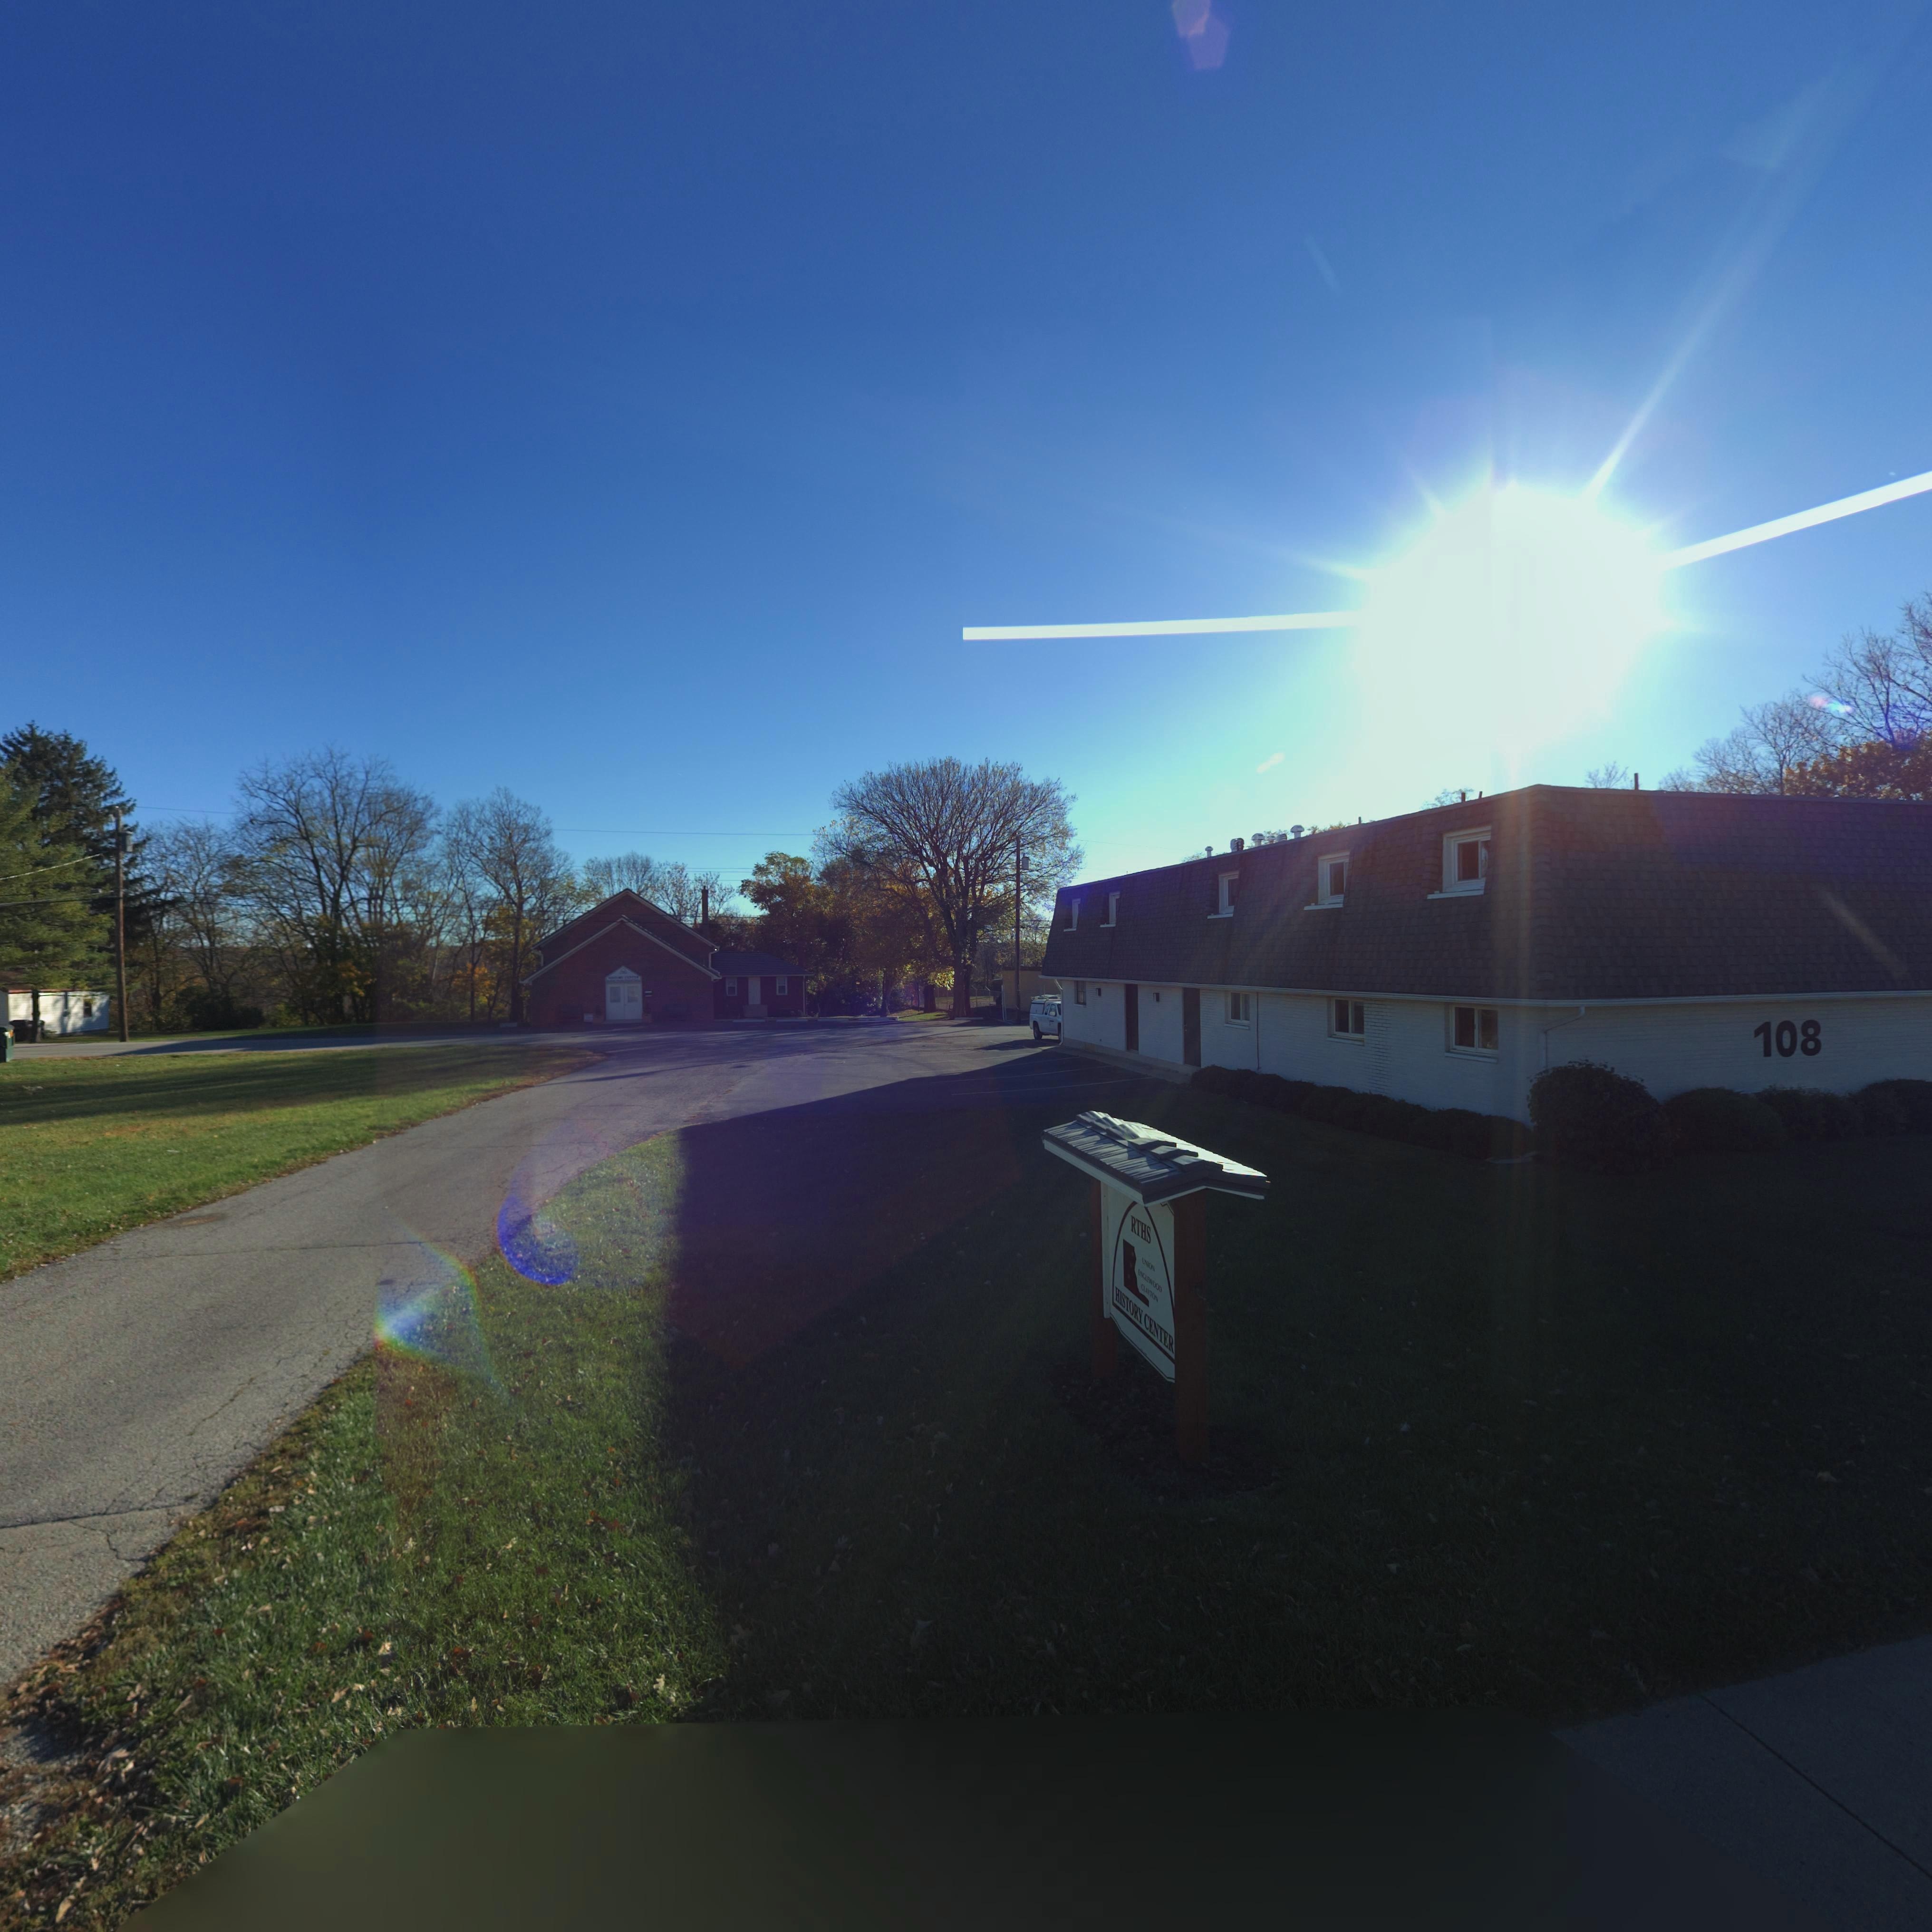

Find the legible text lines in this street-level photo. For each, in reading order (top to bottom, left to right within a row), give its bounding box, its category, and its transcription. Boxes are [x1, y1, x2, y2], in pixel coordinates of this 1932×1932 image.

[1753, 1018, 1822, 1058] StreetNumber: 108